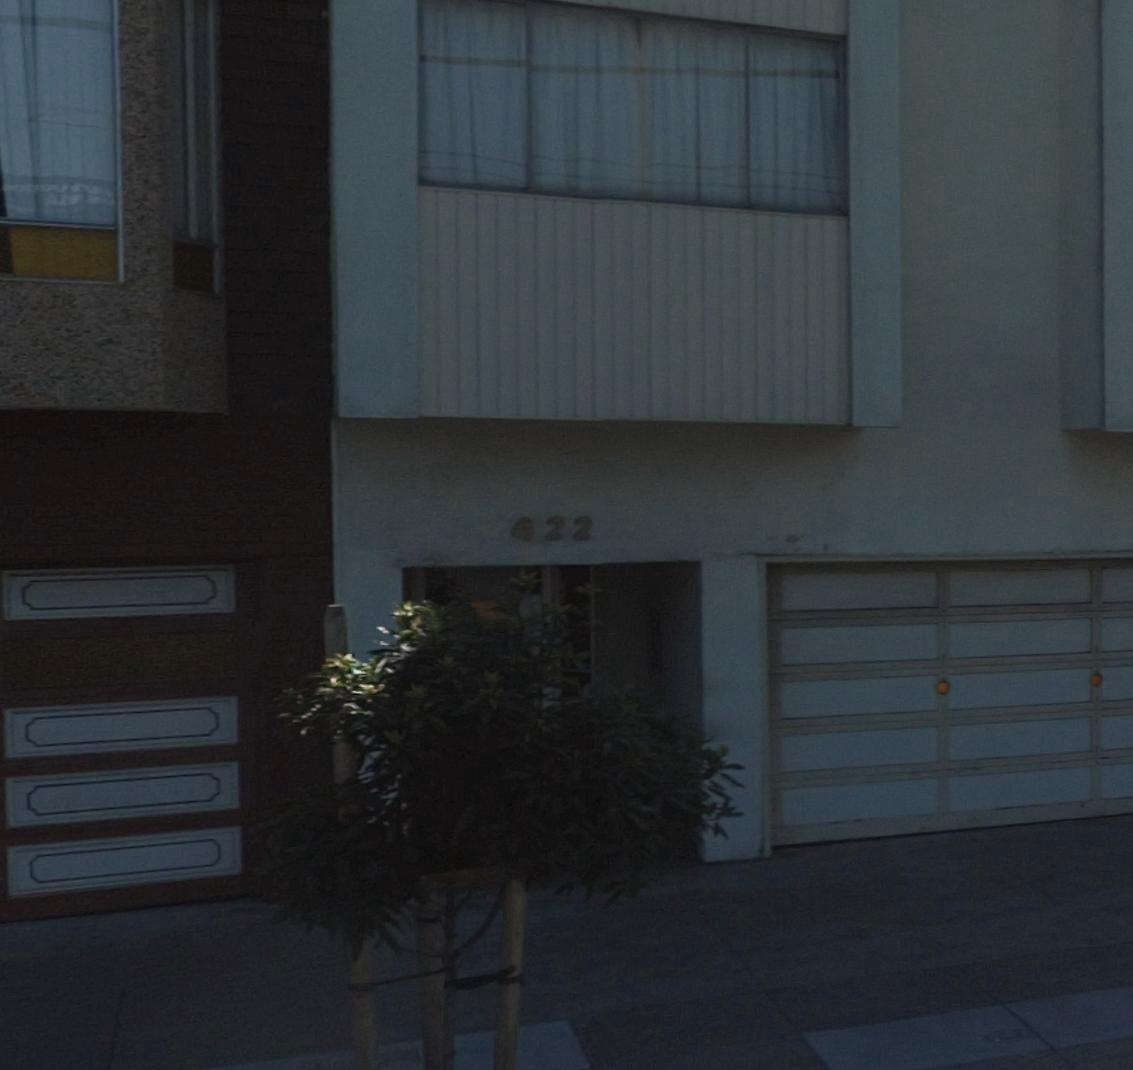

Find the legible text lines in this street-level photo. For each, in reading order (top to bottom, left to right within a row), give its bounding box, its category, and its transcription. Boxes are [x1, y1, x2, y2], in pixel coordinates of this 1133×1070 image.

[509, 510, 596, 548] StreetNumber: 422